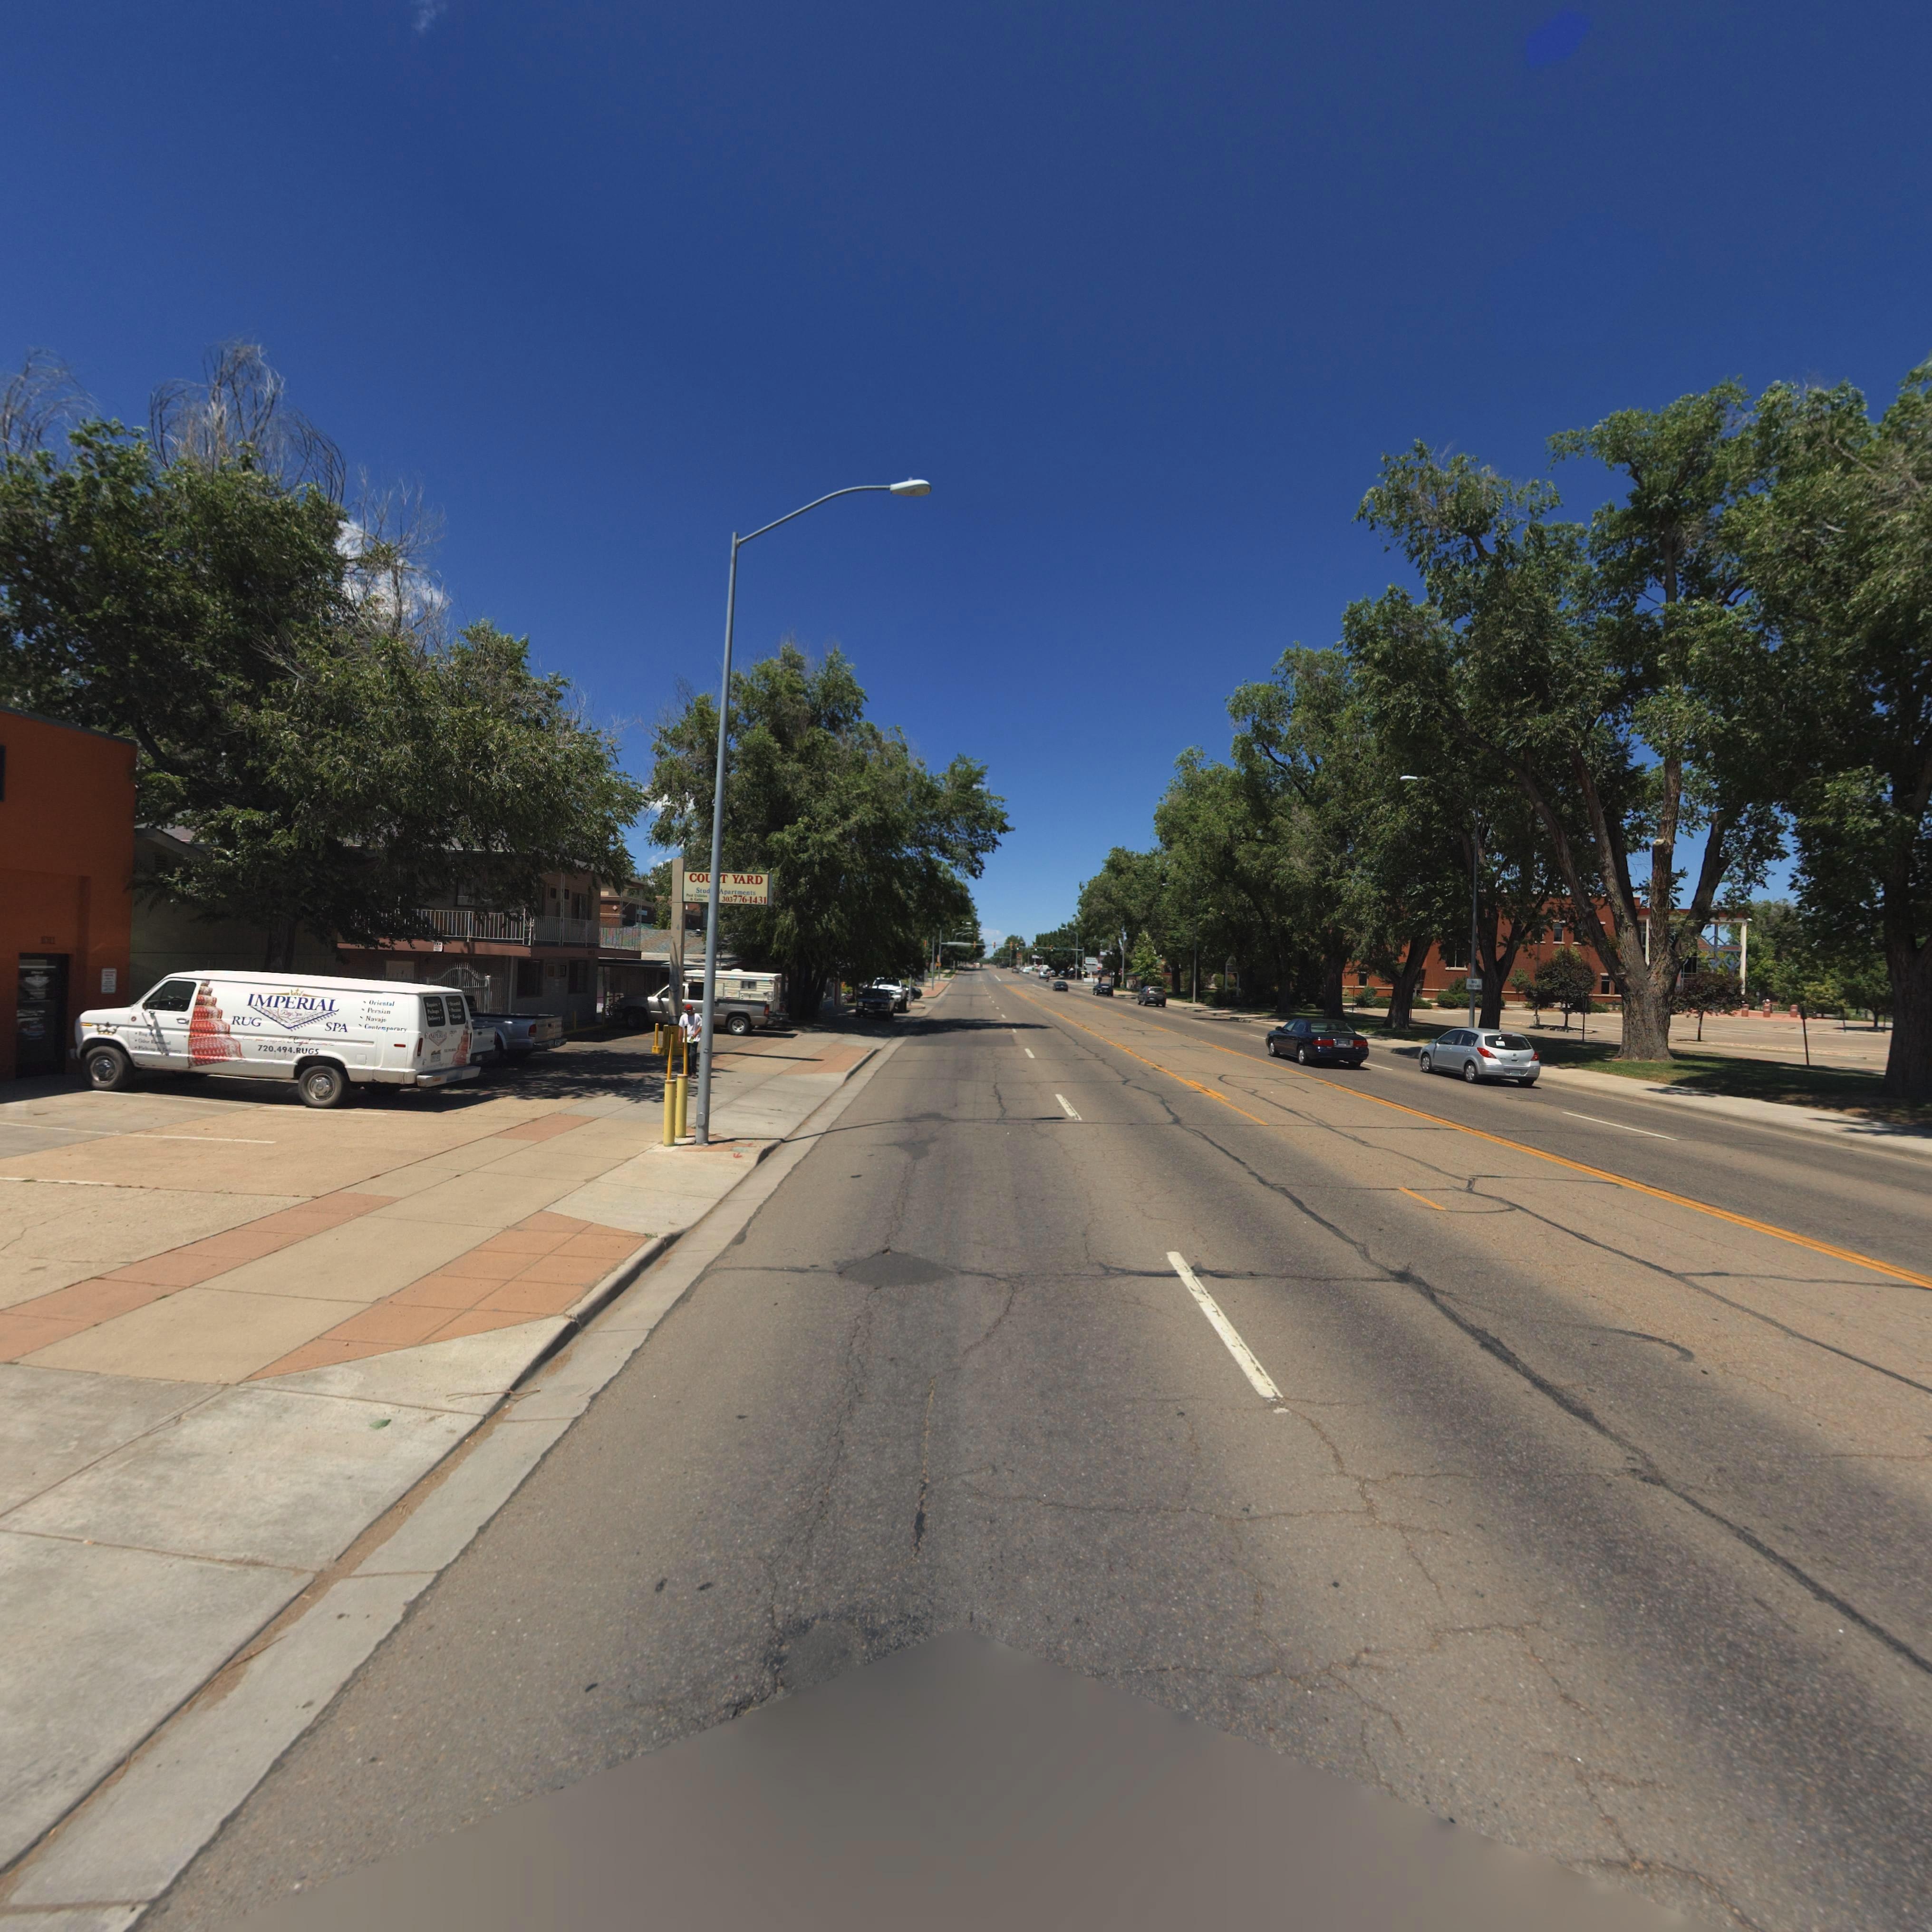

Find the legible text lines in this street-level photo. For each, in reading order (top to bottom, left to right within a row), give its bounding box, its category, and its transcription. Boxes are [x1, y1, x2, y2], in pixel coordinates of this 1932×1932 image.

[689, 872, 763, 884] BusinessName: CO**T YARD
[696, 887, 756, 895] BusinessName: Stud** Apartments
[40, 936, 55, 945] StreetNumber: 1011
[587, 949, 595, 955] StreetNumber: 10**